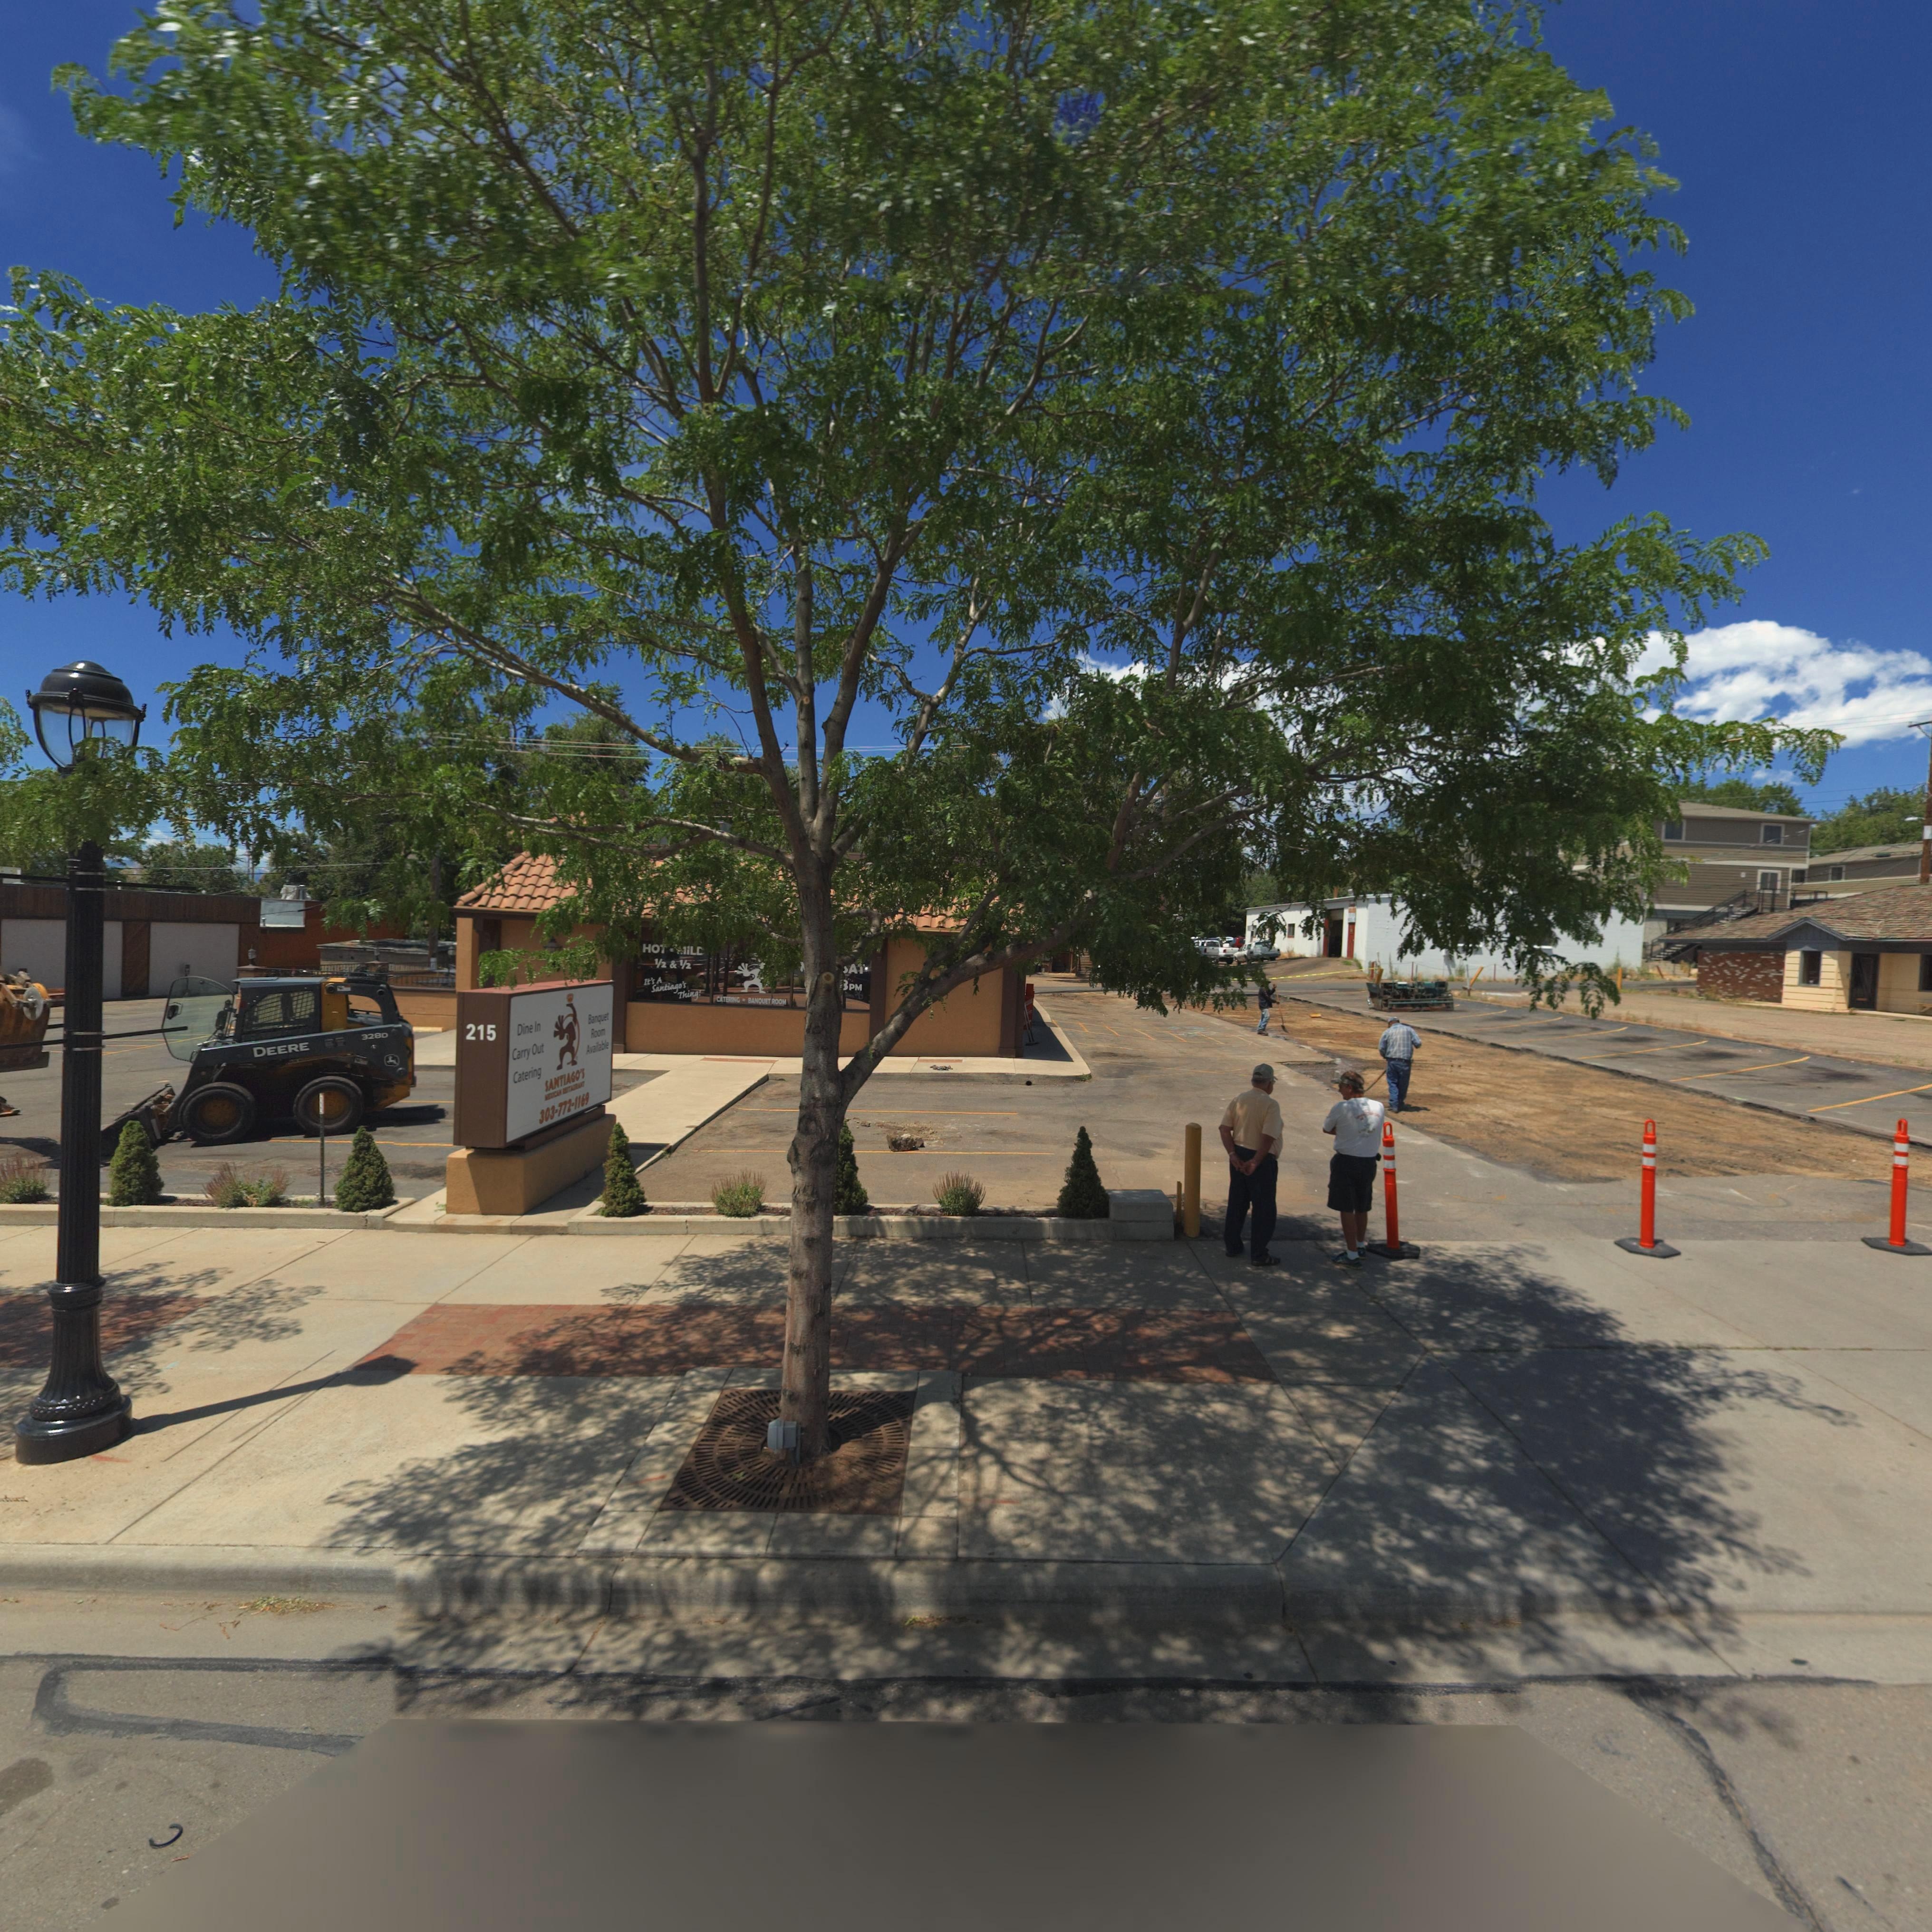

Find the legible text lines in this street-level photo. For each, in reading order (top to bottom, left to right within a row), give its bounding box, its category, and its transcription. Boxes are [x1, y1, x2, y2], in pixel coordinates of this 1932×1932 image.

[650, 980, 687, 994] BusinessName: Santiago's
[465, 1023, 497, 1042] StreetNumber: 215
[544, 1067, 585, 1092] BusinessName: SANTIAGO'S